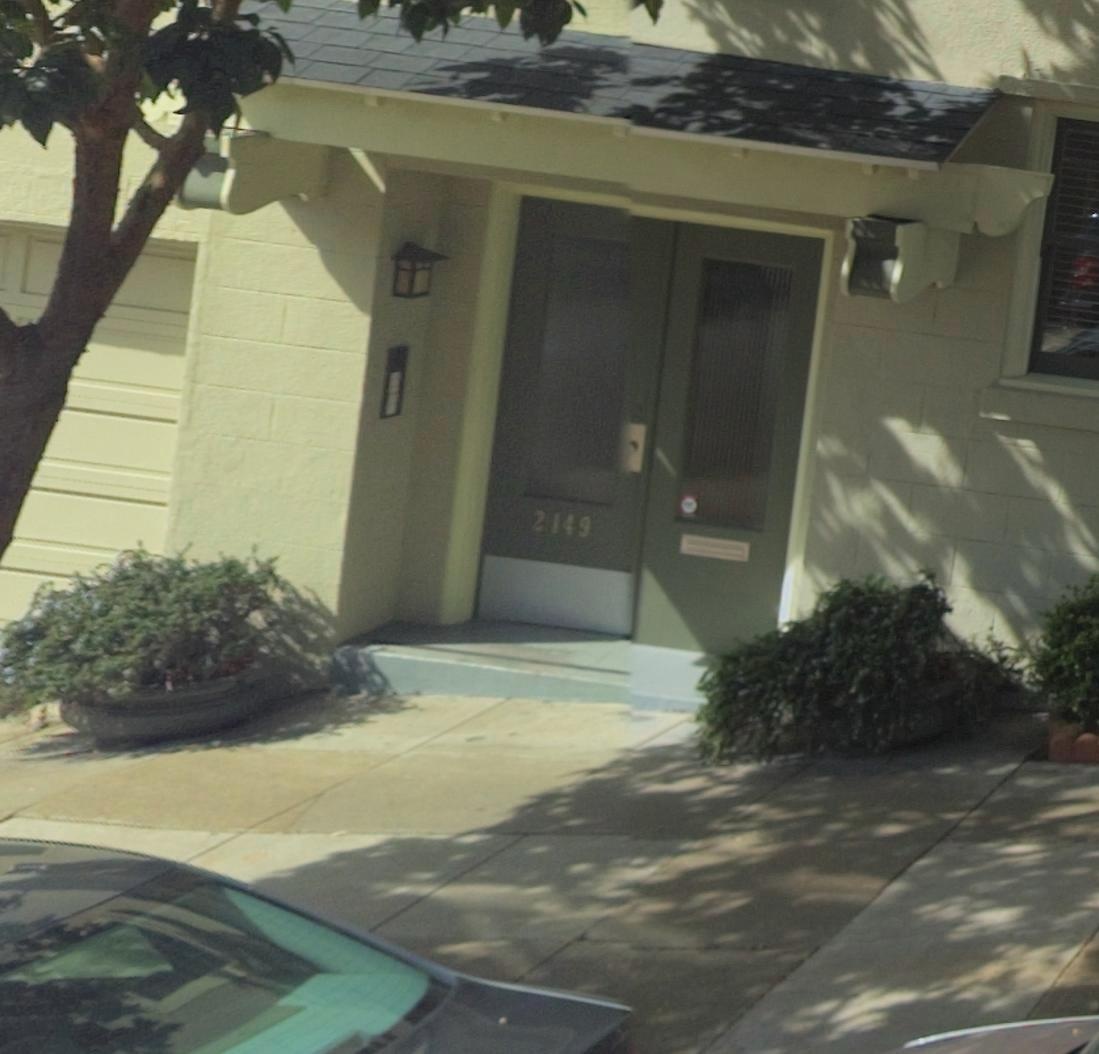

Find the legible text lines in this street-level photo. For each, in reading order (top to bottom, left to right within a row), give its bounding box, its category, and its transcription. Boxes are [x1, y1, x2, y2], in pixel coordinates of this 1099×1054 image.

[527, 505, 595, 541] StreetNumber: 2149